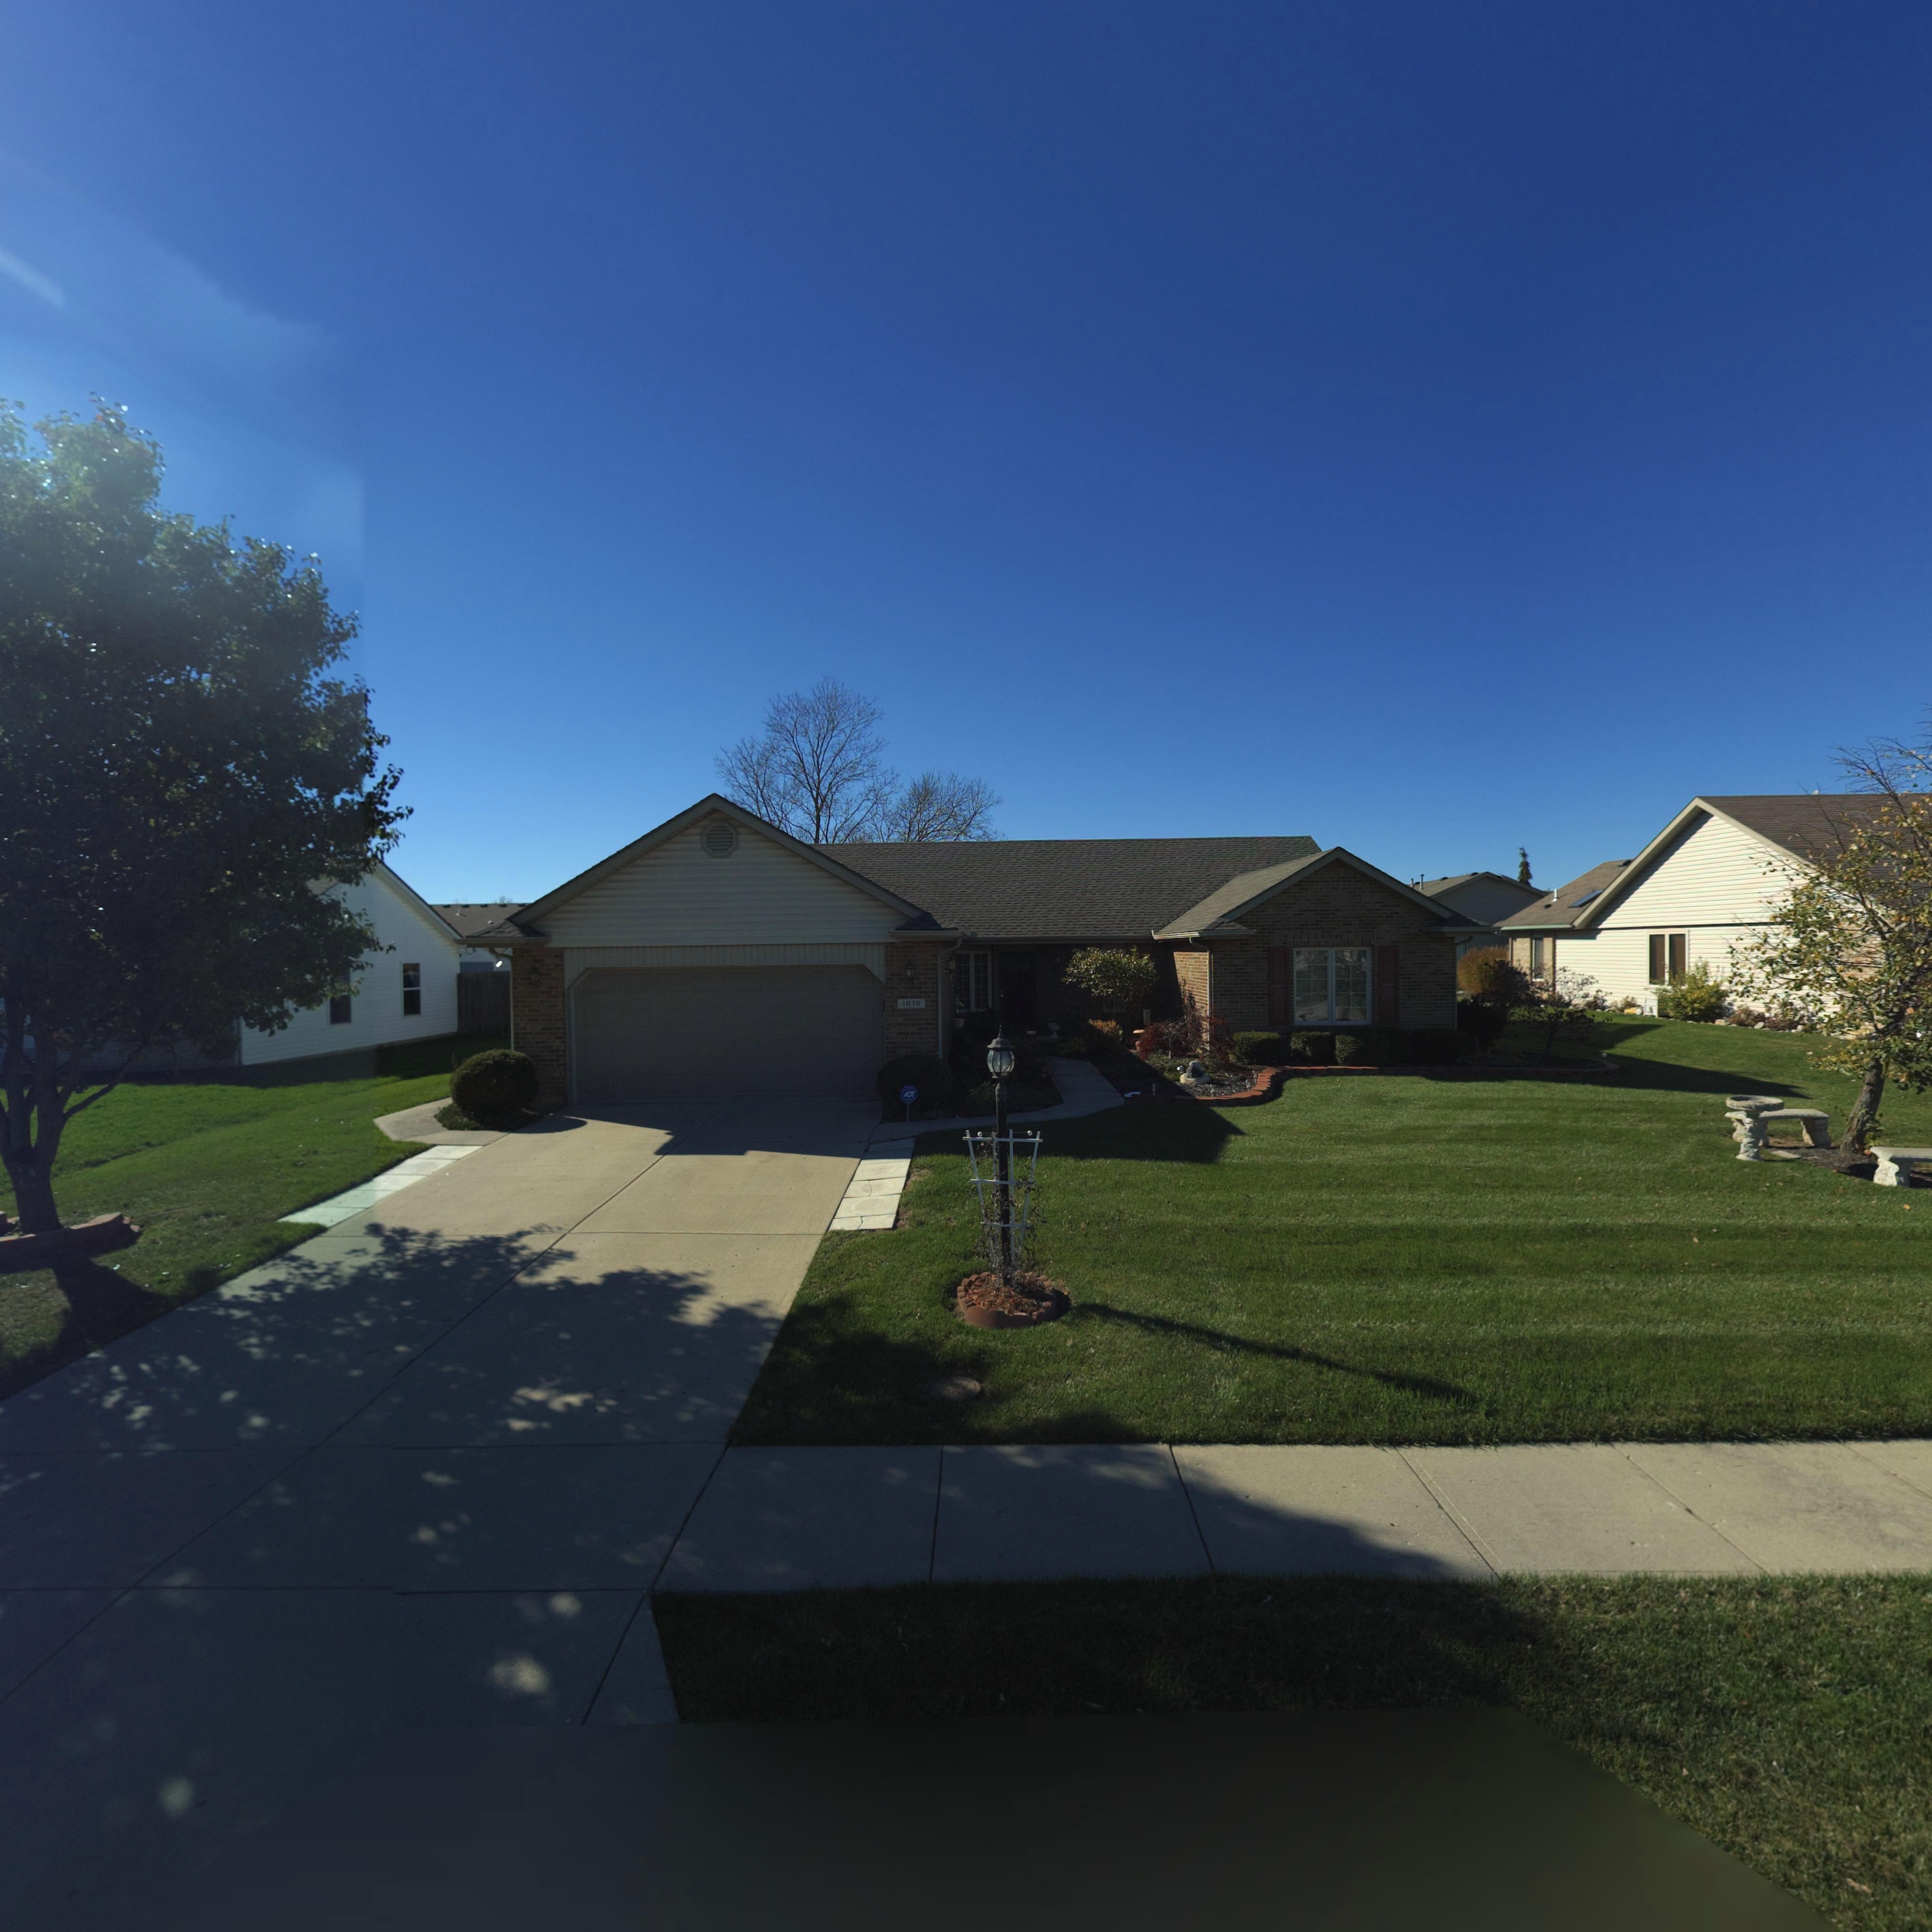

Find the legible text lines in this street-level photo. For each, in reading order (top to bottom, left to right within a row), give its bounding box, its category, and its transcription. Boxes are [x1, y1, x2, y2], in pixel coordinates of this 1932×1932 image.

[902, 999, 921, 1007] StreetNumber: 1030